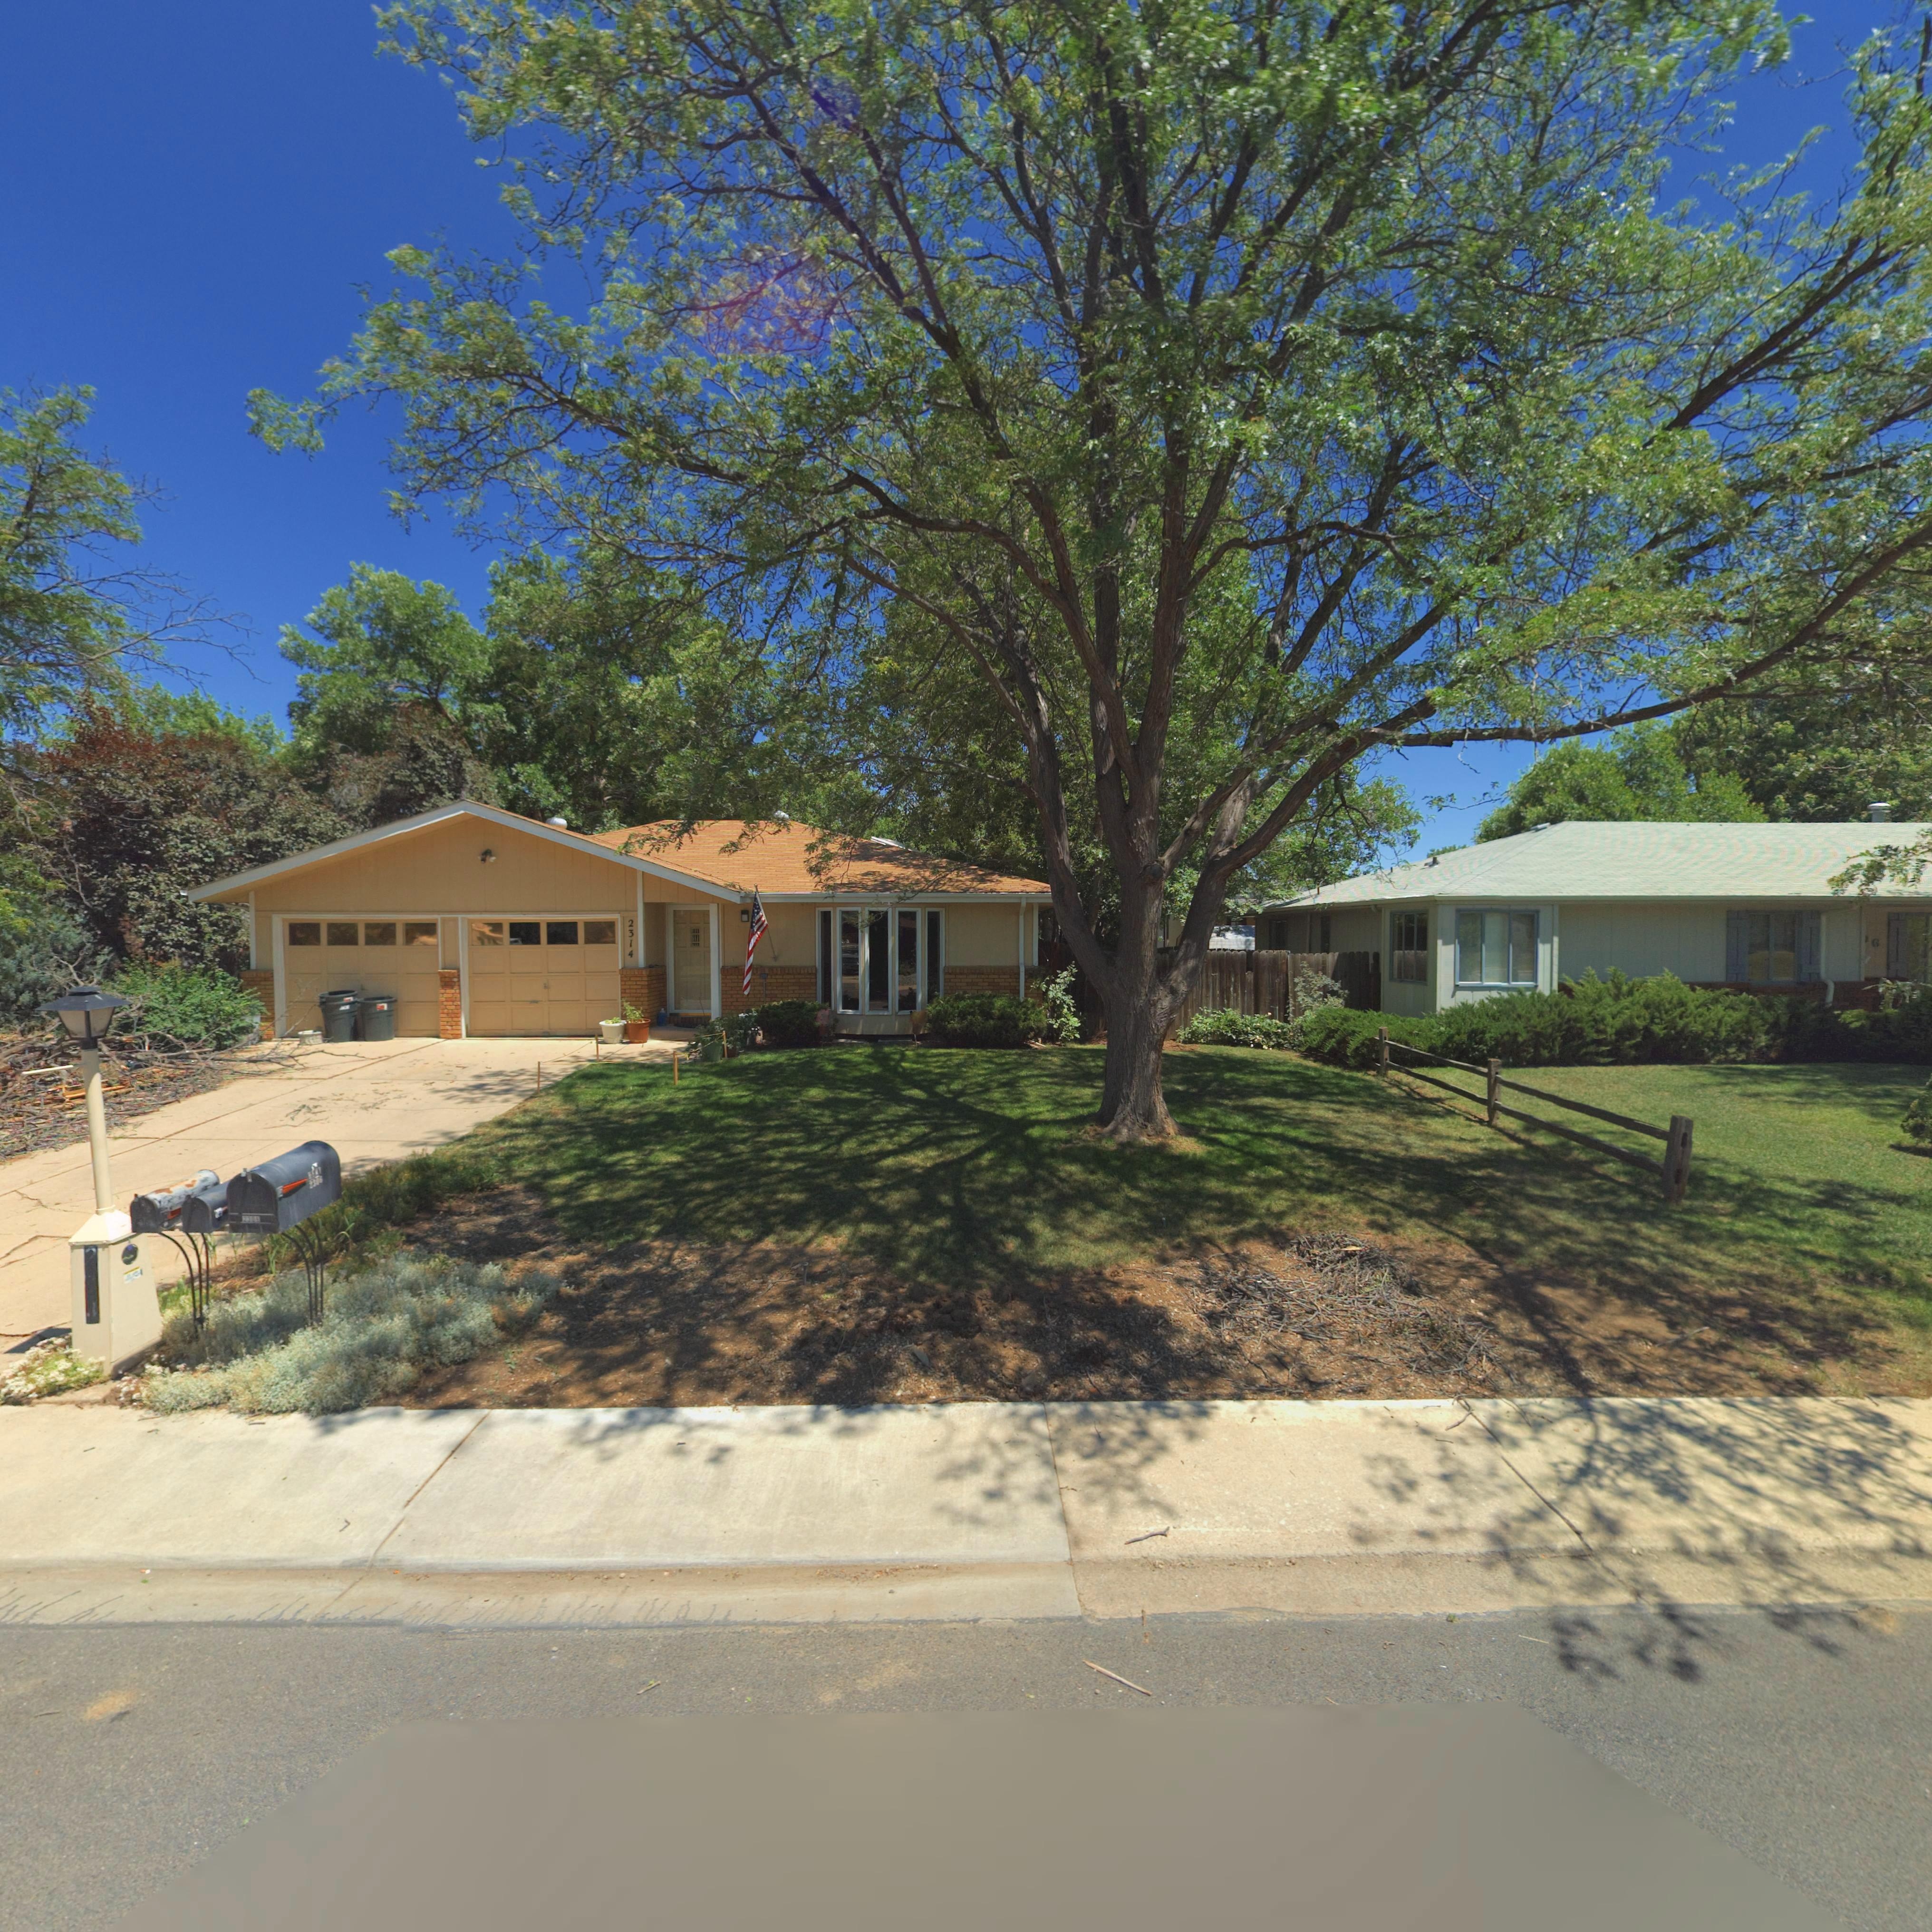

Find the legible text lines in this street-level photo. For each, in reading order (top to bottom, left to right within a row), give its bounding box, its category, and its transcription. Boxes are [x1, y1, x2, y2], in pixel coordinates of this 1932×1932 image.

[628, 918, 634, 958] StreetNumber: 2314
[1871, 937, 1879, 947] StreetNumber: 6
[309, 1175, 323, 1189] StreetNumber: 2306
[242, 1216, 260, 1223] StreetNumber: 2306